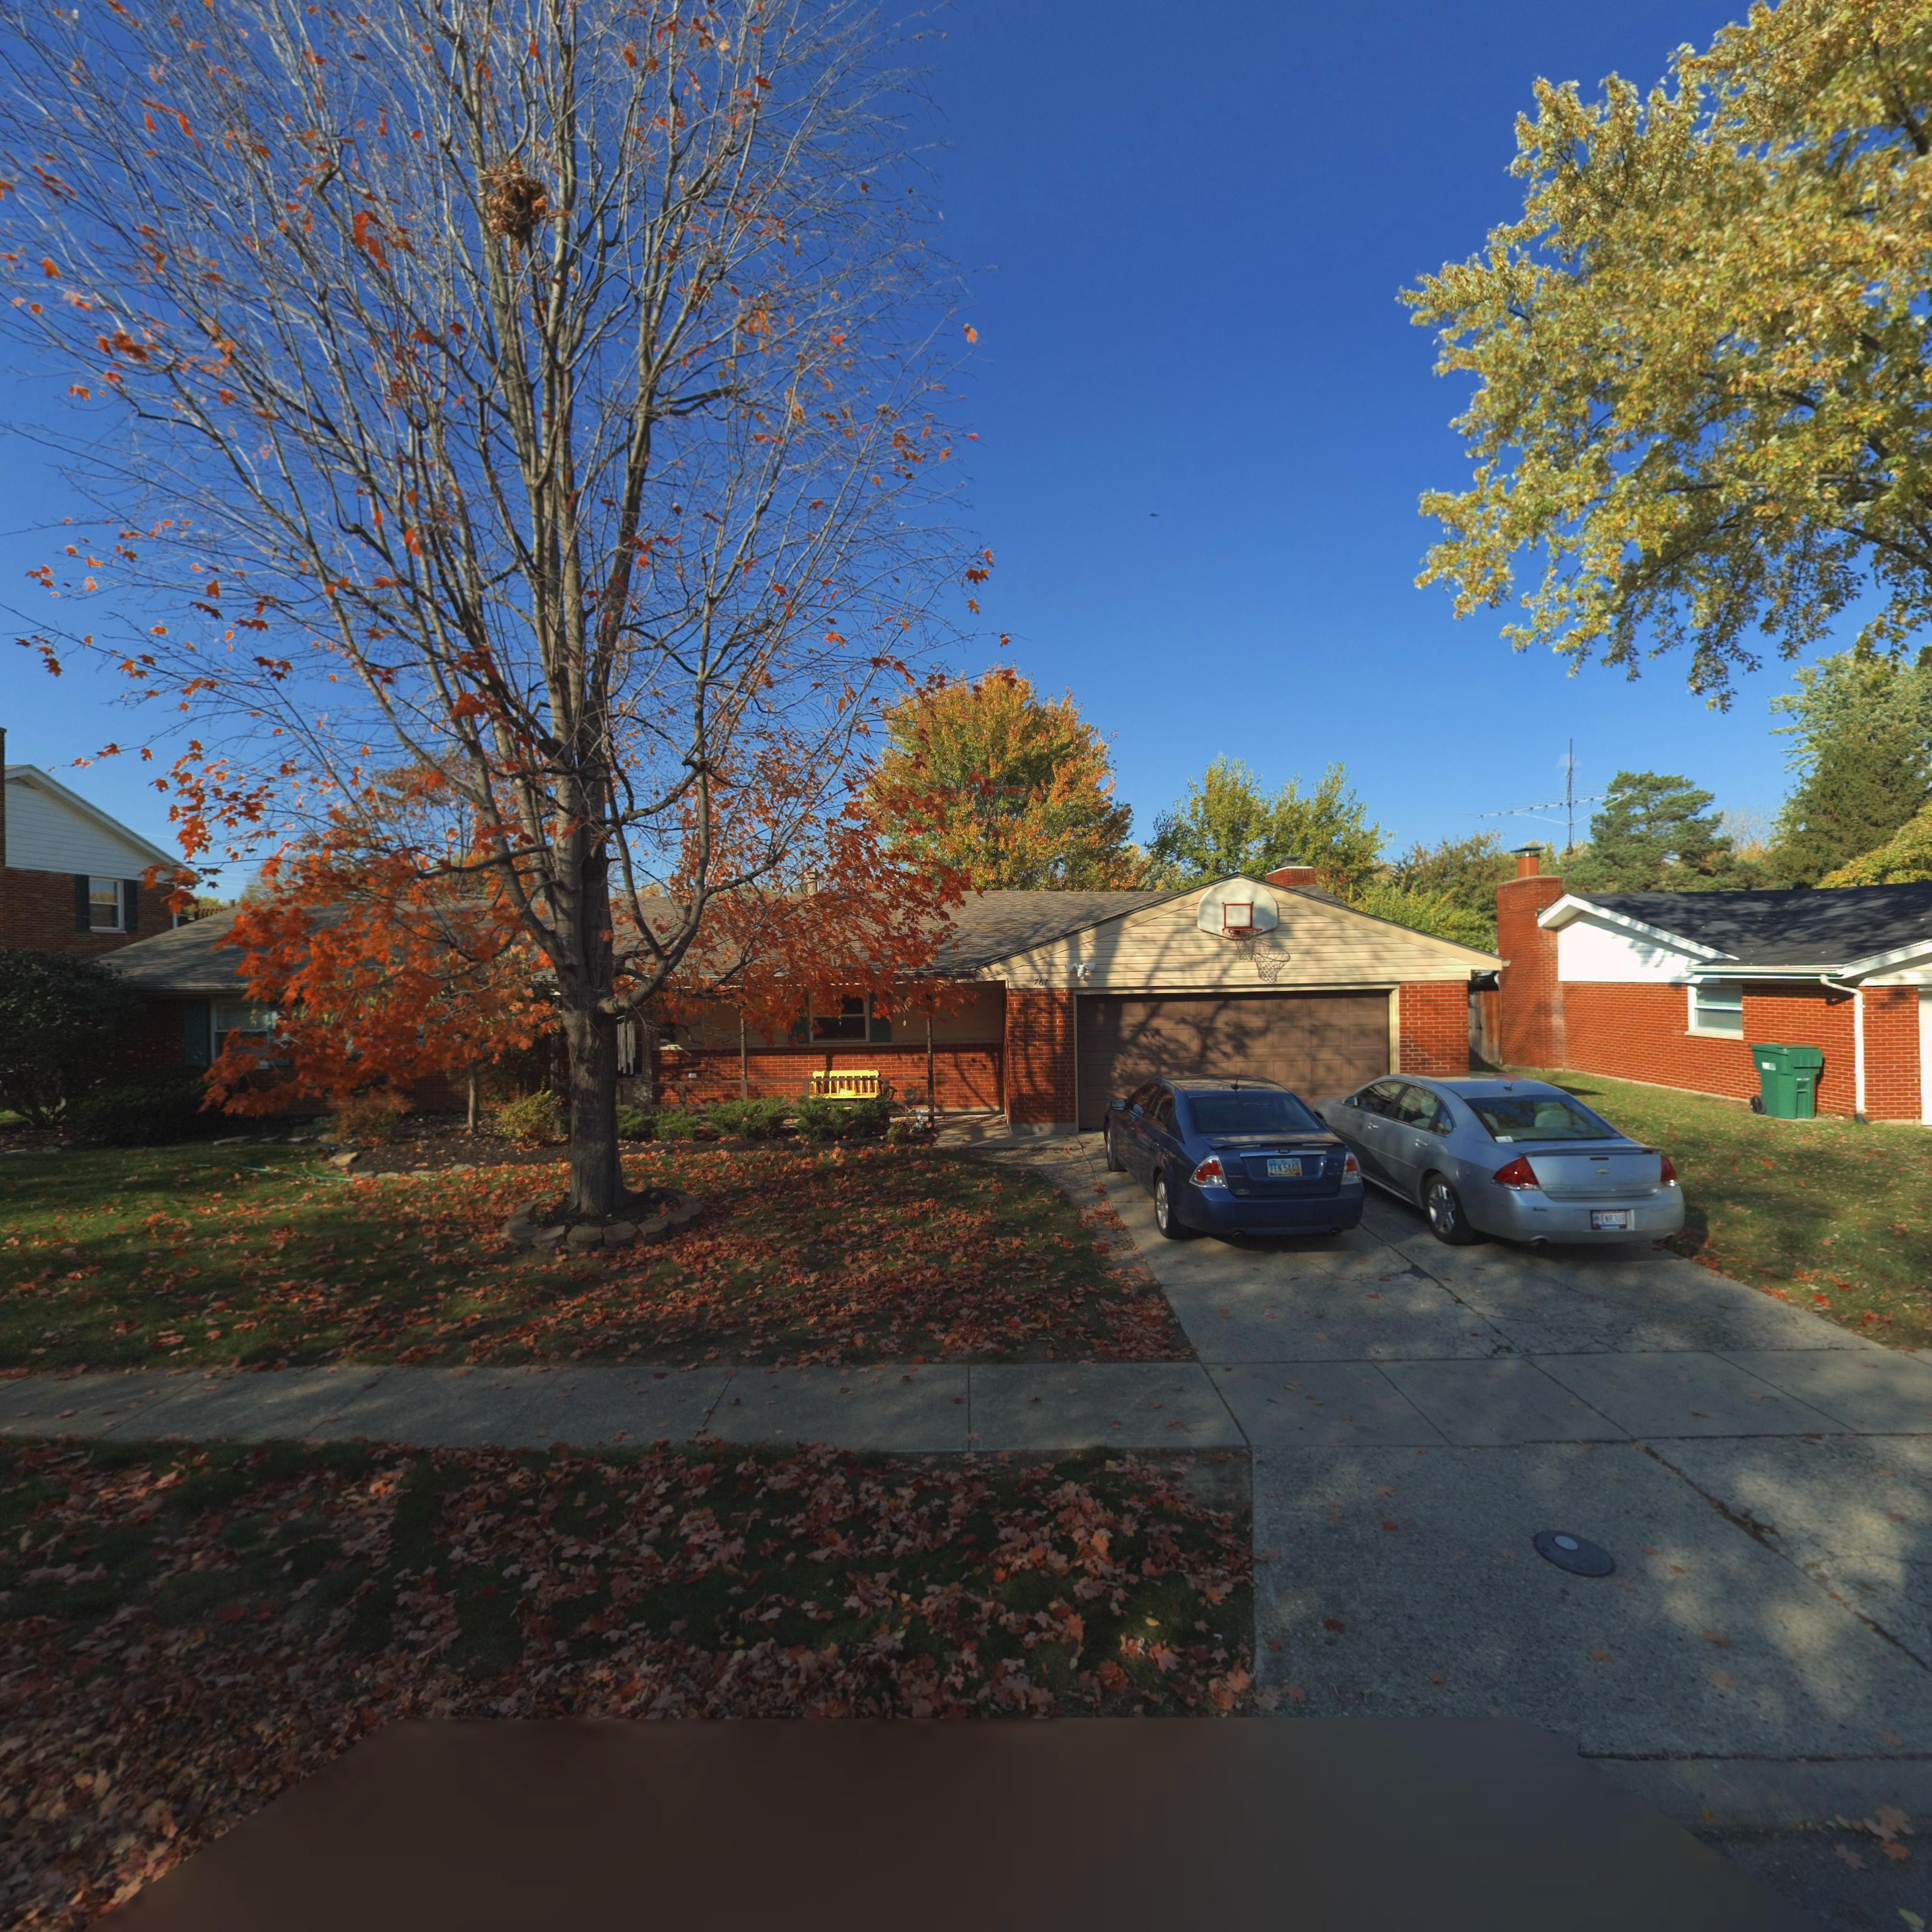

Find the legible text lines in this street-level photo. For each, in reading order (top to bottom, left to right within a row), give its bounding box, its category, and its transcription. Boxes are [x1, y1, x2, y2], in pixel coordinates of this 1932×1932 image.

[1032, 977, 1051, 986] StreetNumber: 767